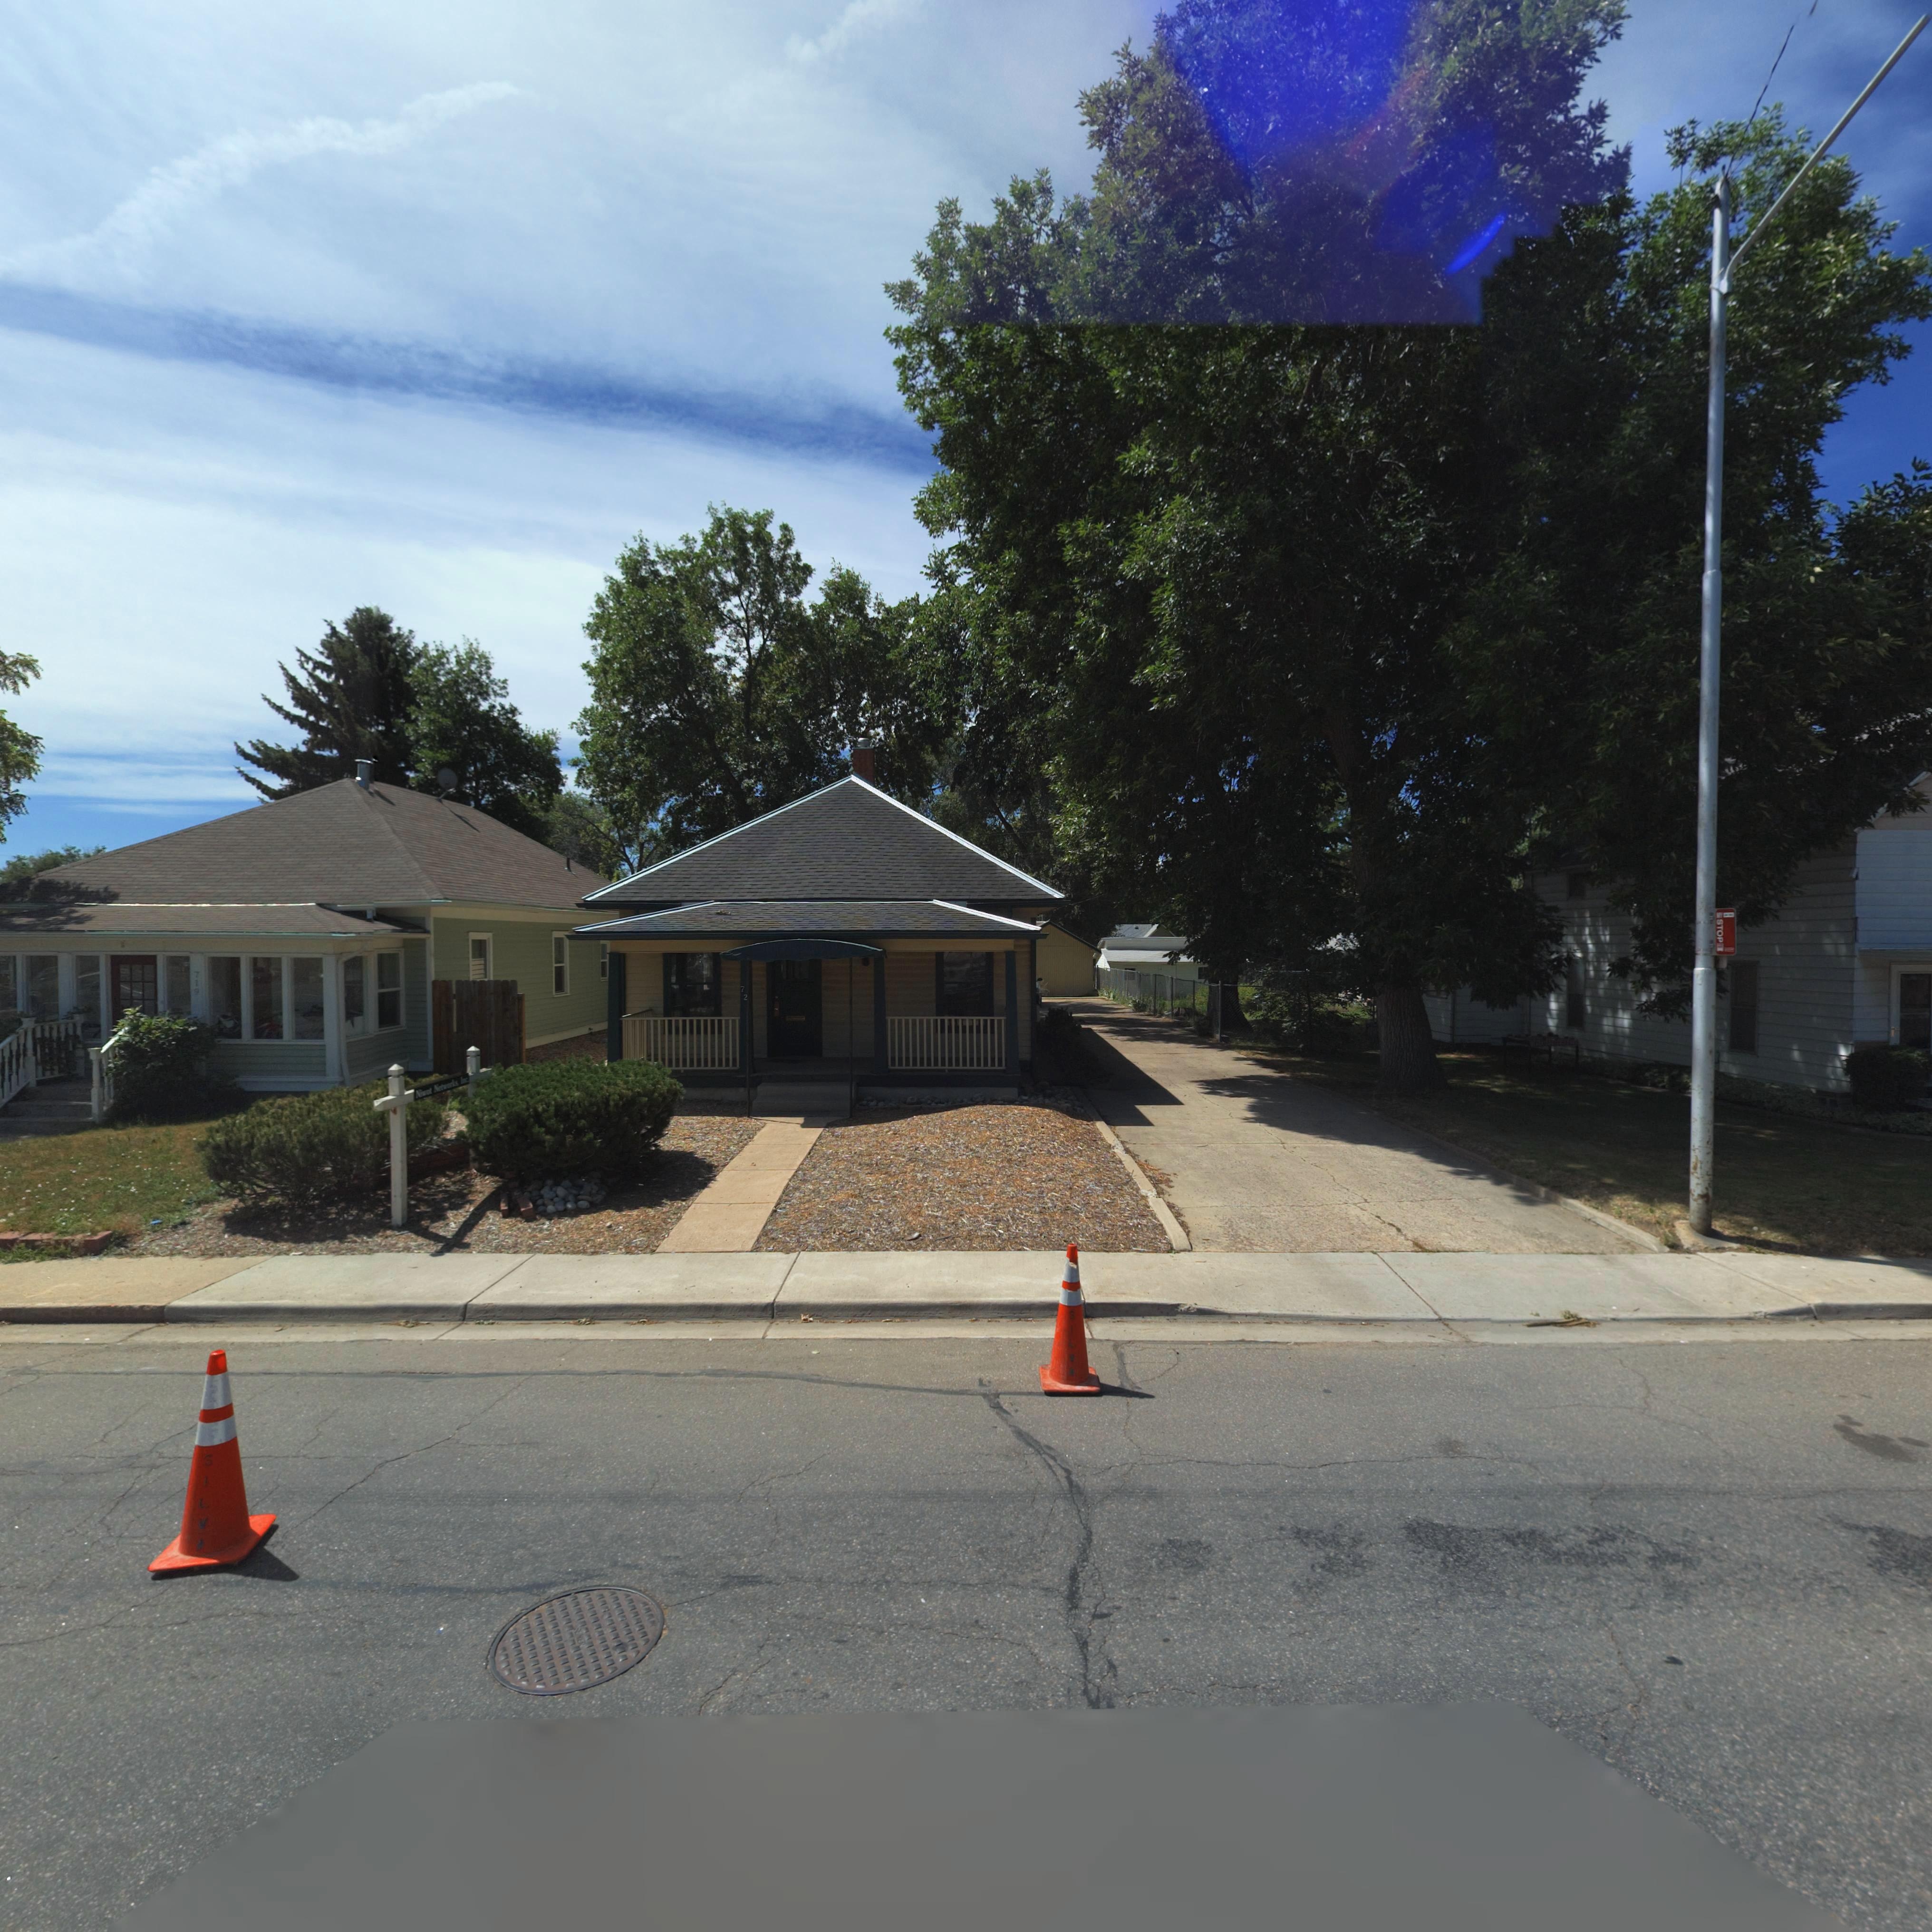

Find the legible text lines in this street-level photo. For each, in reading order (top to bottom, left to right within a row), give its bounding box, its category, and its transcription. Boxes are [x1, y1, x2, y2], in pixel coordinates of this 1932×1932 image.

[193, 970, 200, 995] StreetNumber: 719
[740, 985, 748, 1001] StreetNumber: 72
[415, 1075, 468, 1100] BusinessName: Ni**t N*t****s I**